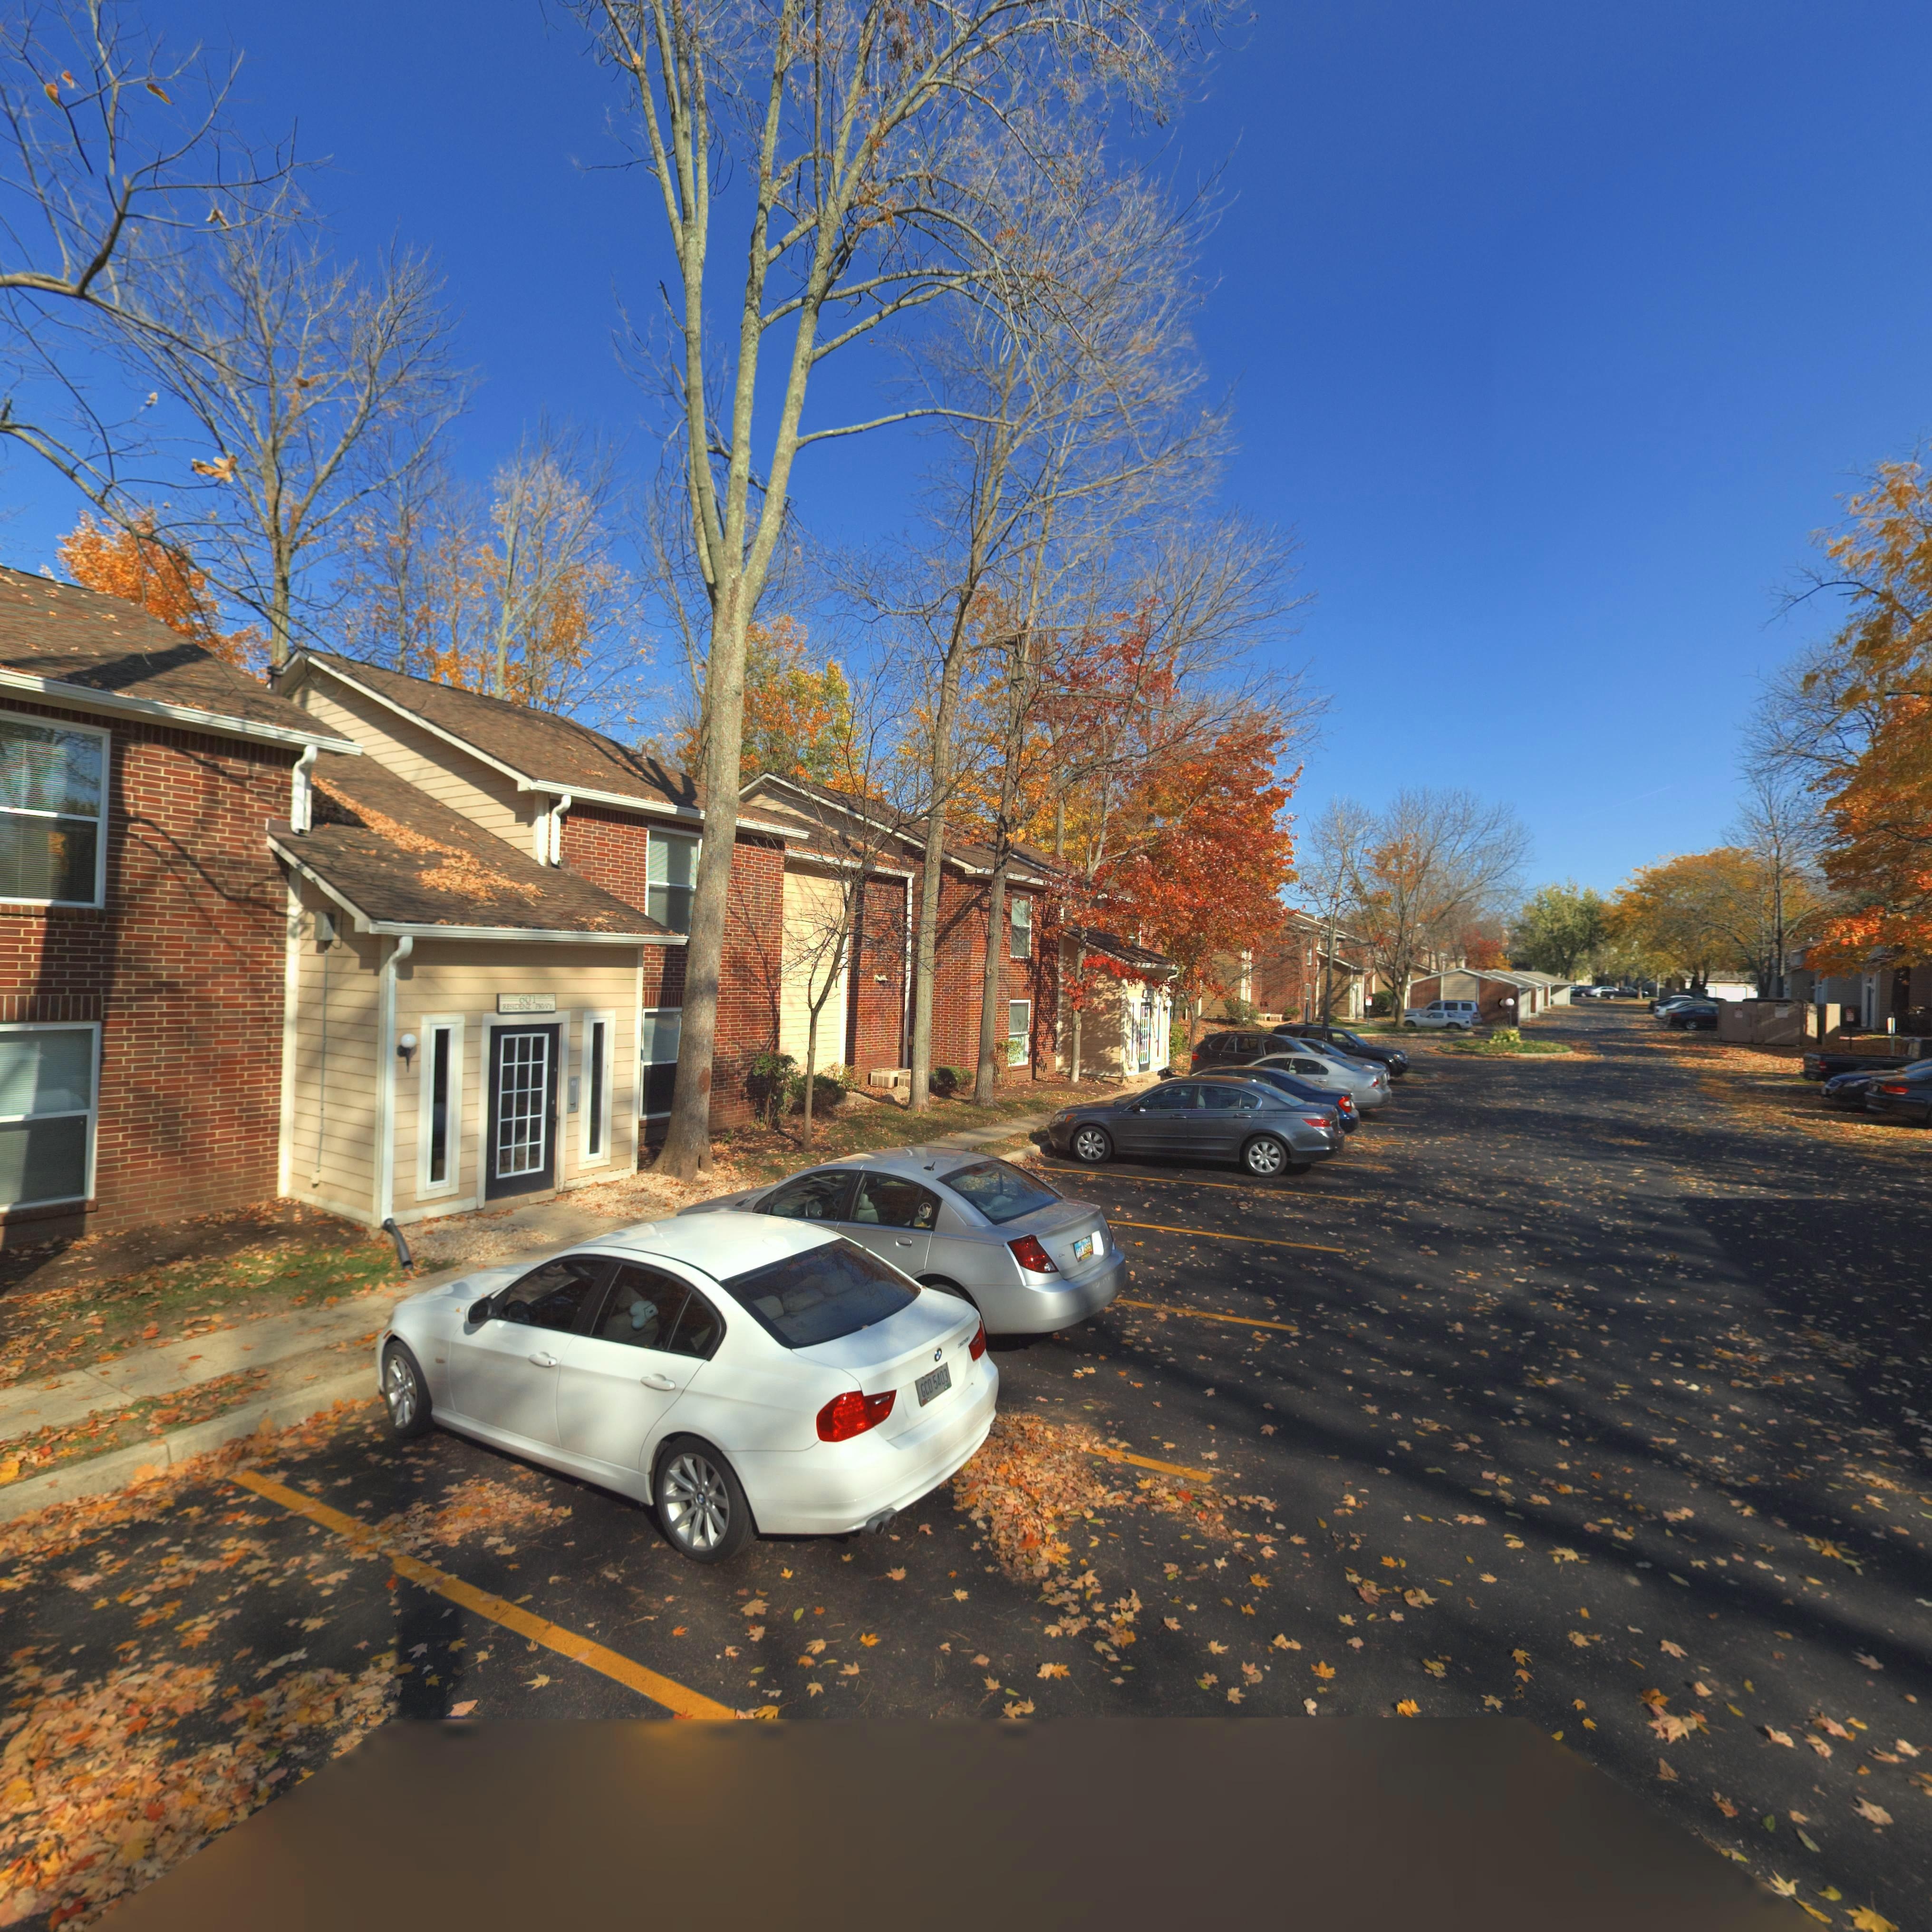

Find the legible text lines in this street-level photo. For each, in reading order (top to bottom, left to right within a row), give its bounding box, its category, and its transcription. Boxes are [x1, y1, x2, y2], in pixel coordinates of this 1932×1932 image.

[518, 994, 537, 1004] StreetNumber: 601
[502, 1002, 554, 1012] StreetName: RESIDENZ **W*
[919, 1366, 950, 1400] None: GCD 5403